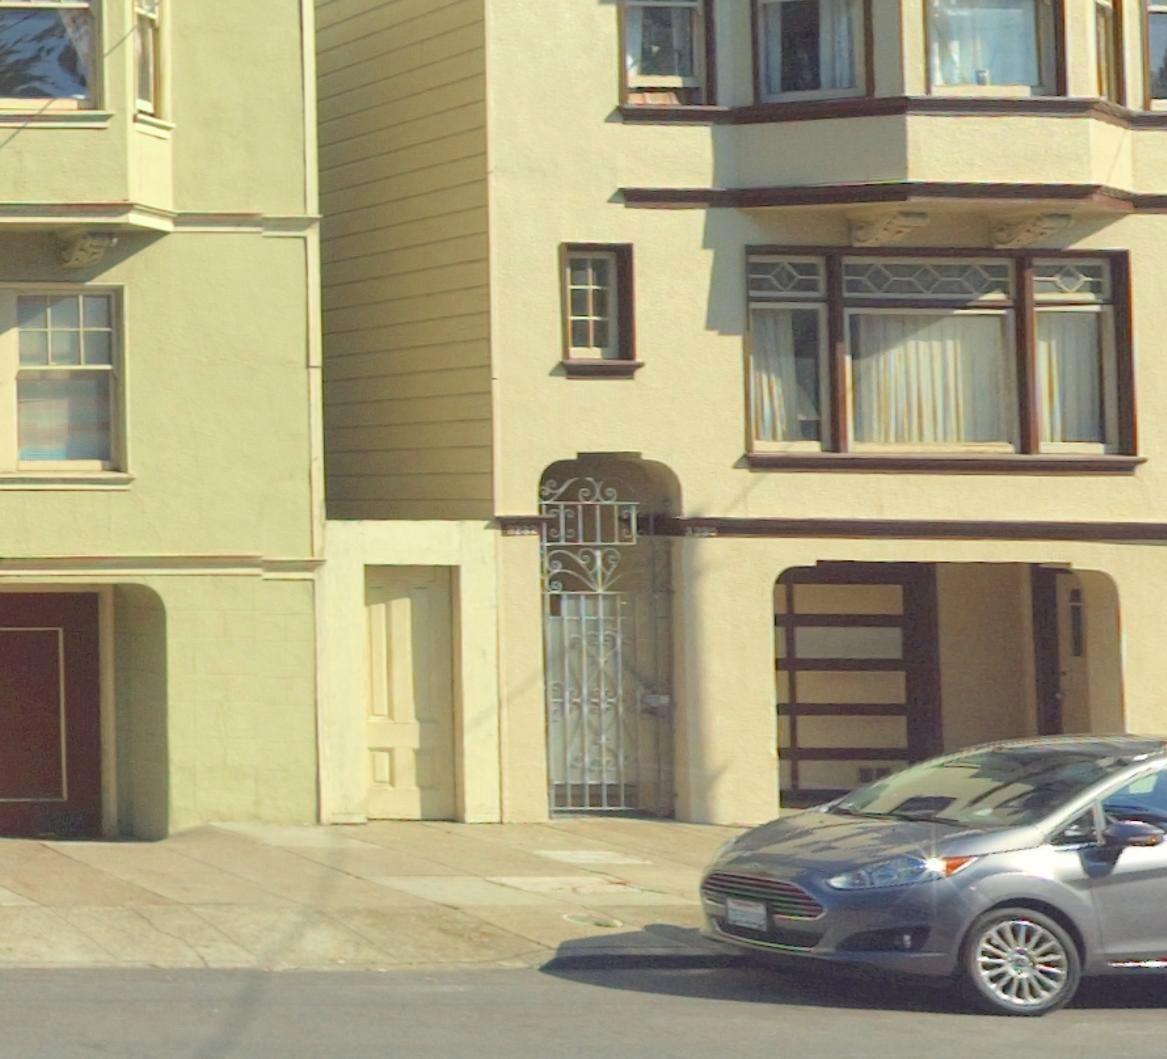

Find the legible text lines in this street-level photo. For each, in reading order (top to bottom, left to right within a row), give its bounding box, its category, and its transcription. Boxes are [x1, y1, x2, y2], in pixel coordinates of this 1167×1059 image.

[503, 523, 540, 538] StreetNumber: 3232
[682, 523, 720, 539] StreetNumber: 3230